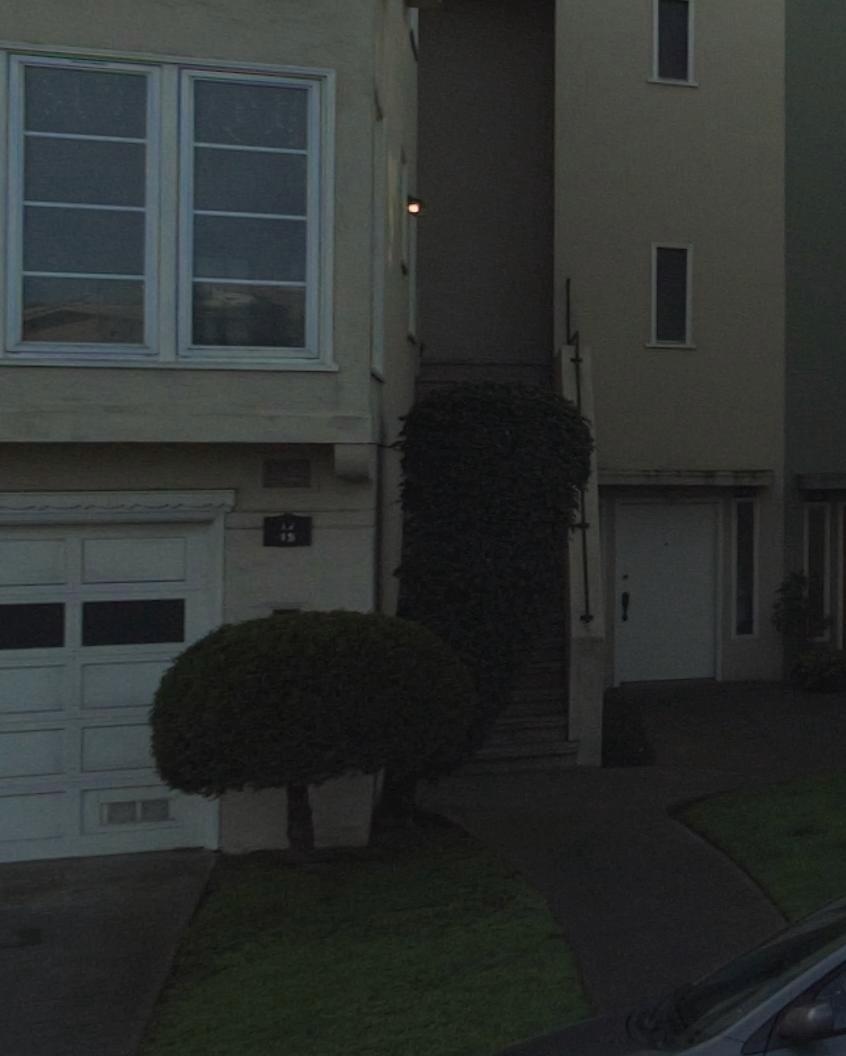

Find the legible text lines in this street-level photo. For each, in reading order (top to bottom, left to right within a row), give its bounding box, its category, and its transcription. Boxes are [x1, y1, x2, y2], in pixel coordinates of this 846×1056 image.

[277, 530, 299, 545] StreetNumber: 17